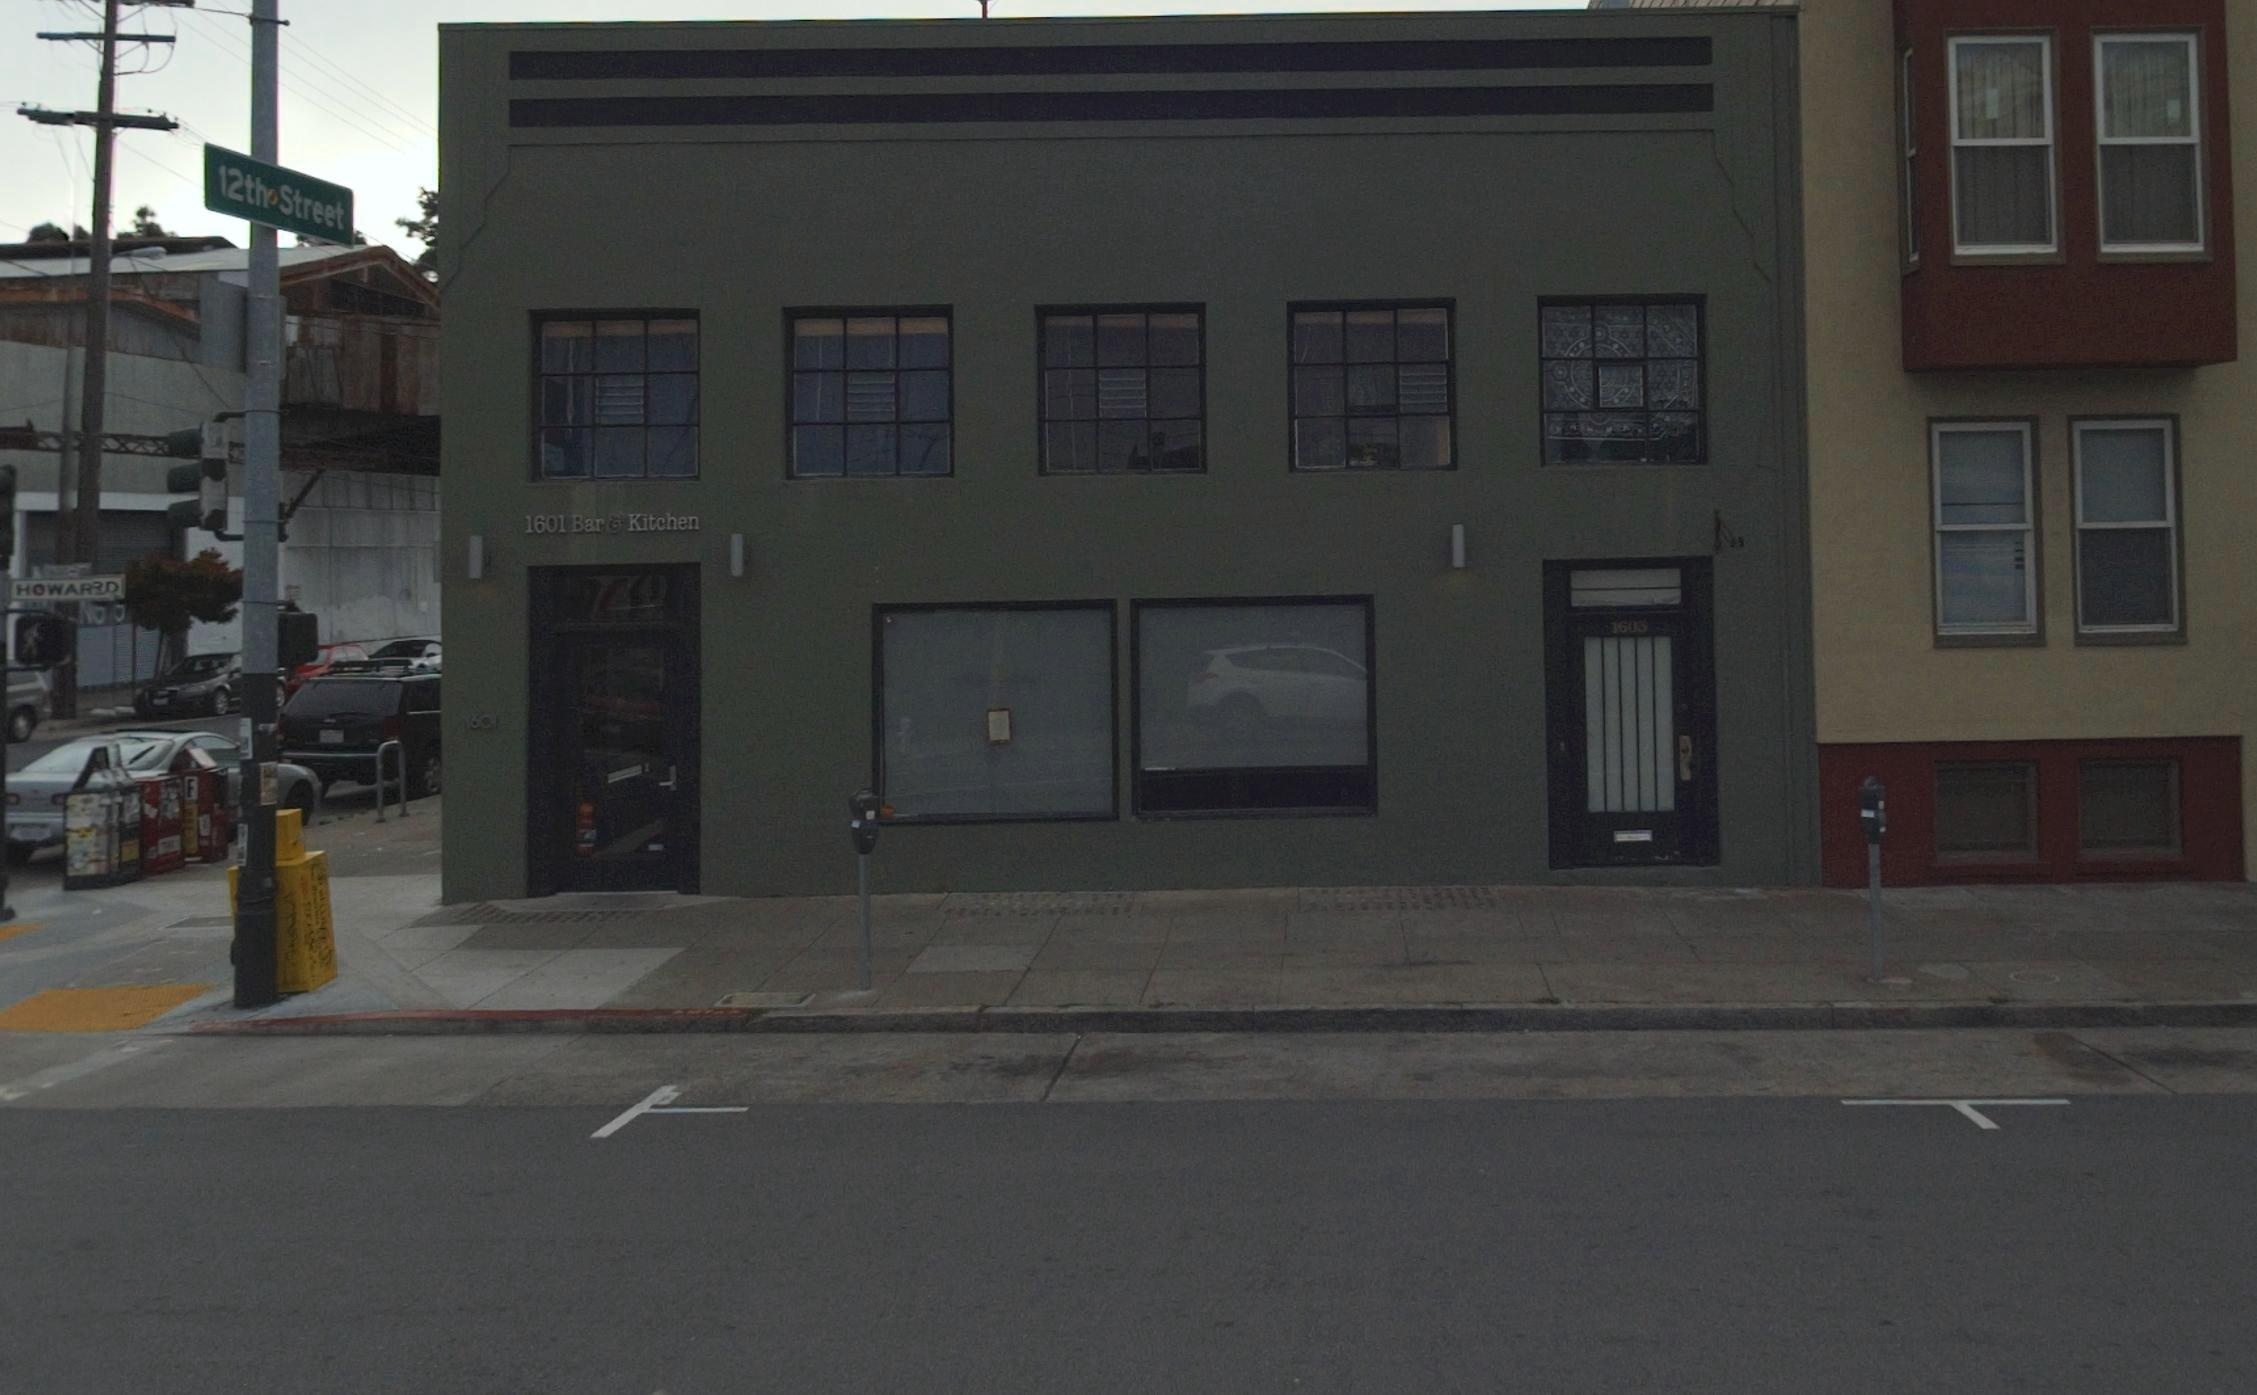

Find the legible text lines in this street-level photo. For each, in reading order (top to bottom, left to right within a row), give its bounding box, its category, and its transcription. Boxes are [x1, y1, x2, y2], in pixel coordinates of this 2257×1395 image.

[217, 163, 346, 234] StreetName: 12th Street
[524, 514, 568, 534] BusinessName: 1601
[571, 509, 701, 534] BusinessName: Bar & Kitchen
[15, 581, 120, 597] StreetName: HOWAR*D
[1609, 619, 1649, 634] StreetNumber: 1603
[464, 714, 499, 729] StreetNumber: 1601